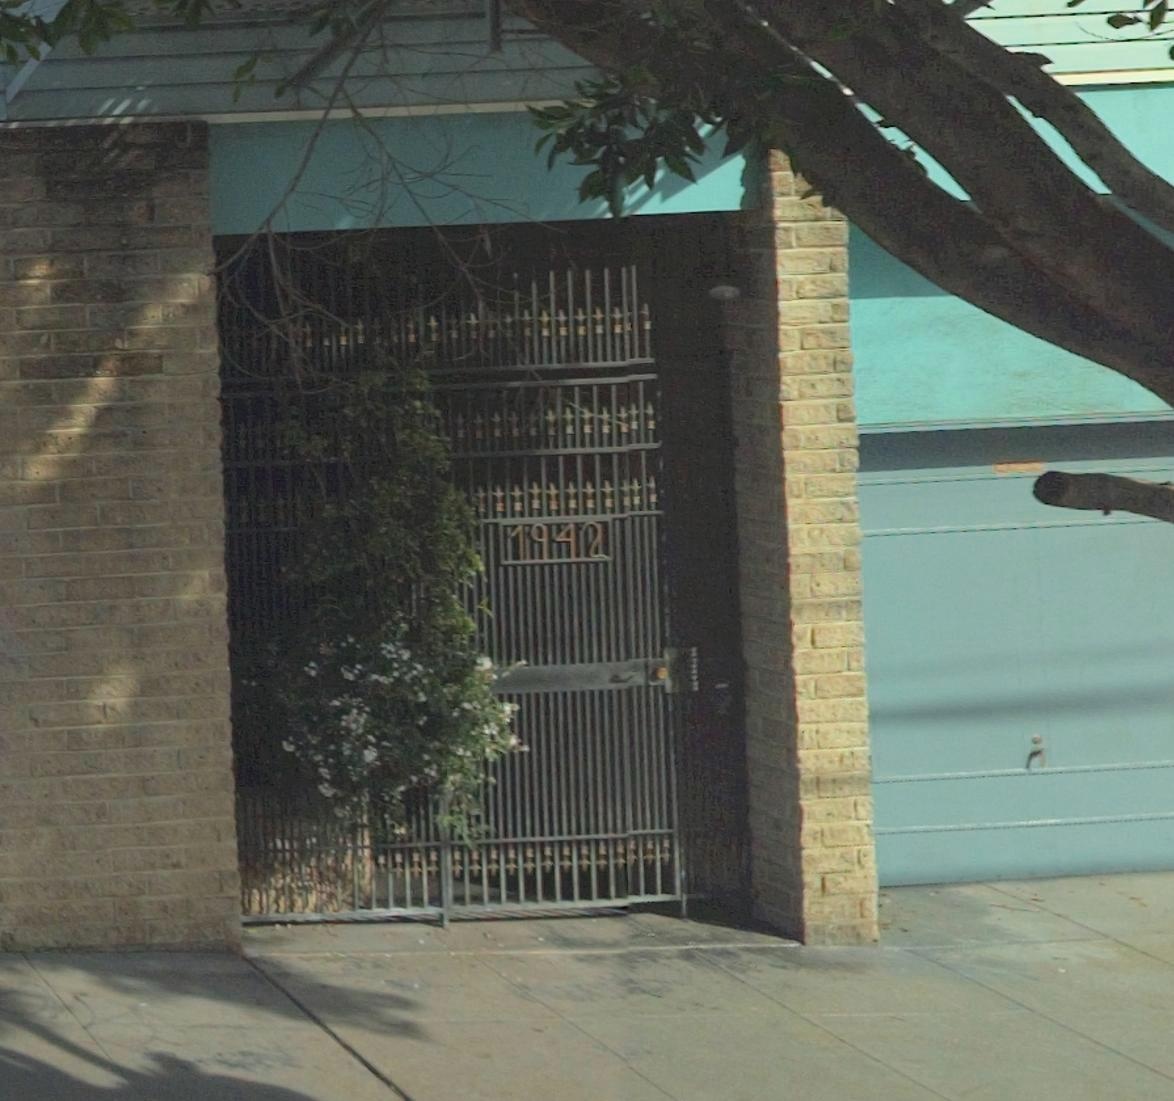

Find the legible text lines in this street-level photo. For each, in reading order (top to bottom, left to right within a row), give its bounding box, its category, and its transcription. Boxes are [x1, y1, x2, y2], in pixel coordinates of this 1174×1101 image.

[507, 517, 608, 564] StreetNumber: 1942